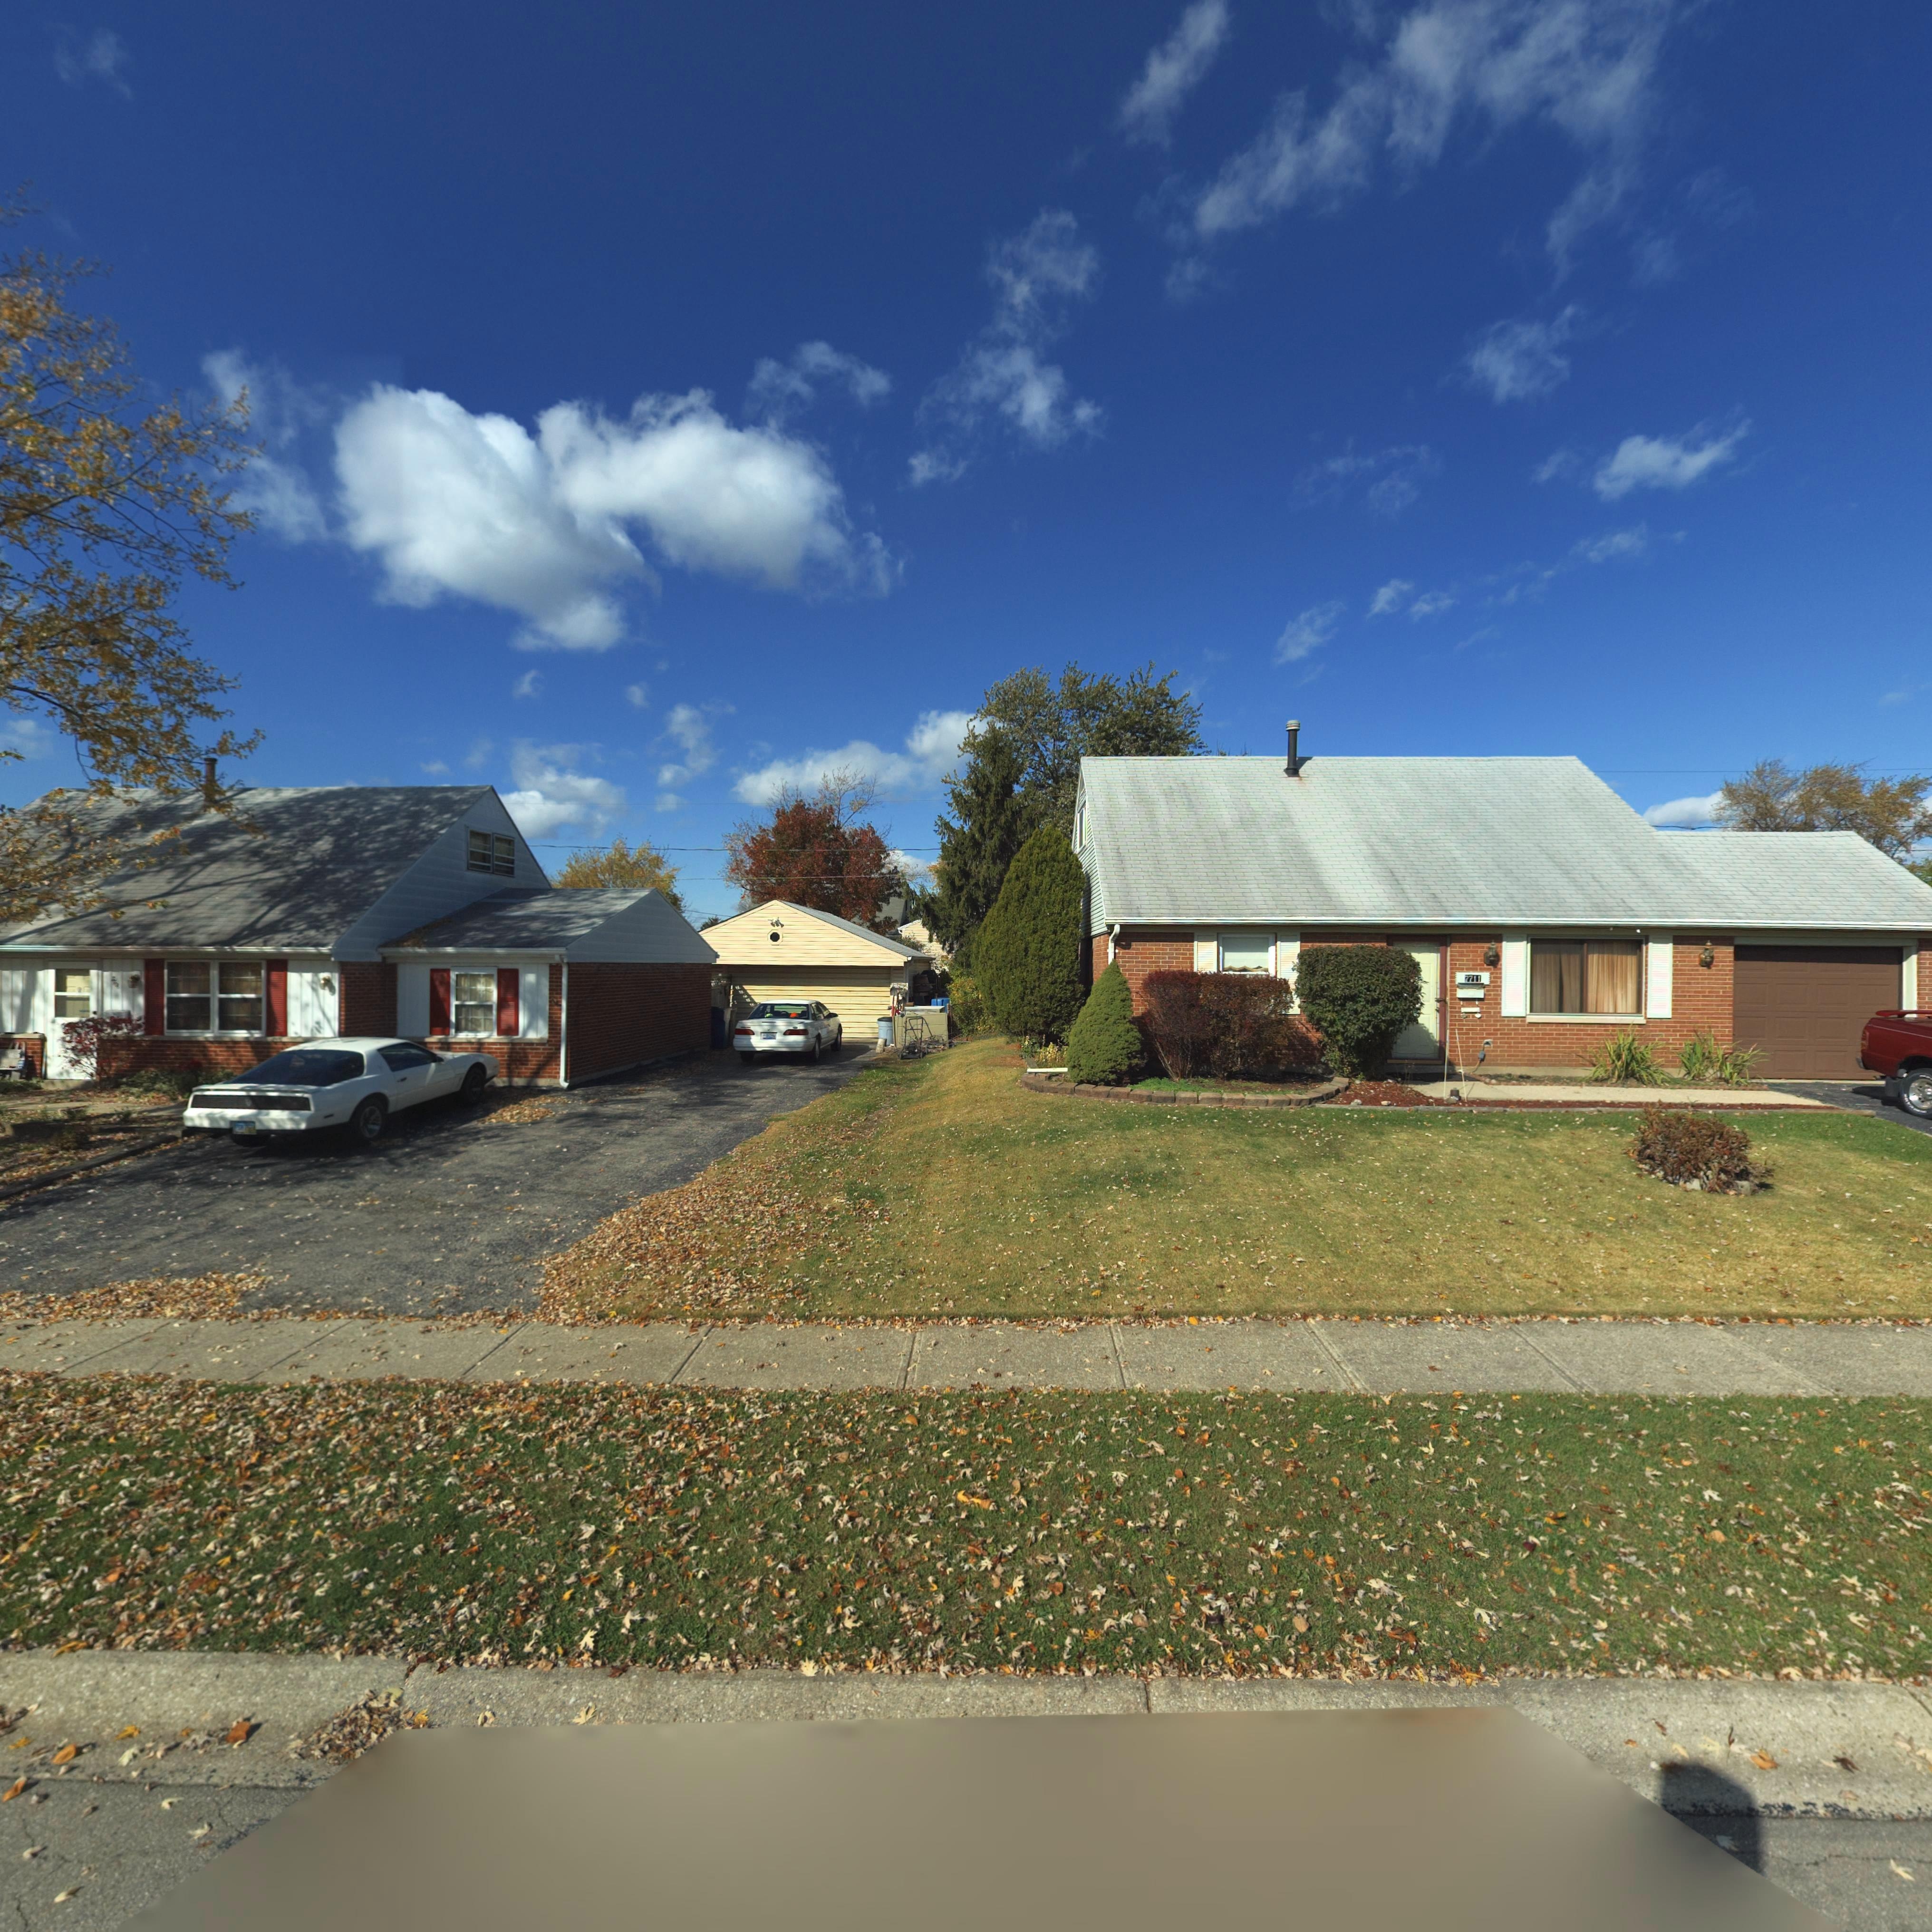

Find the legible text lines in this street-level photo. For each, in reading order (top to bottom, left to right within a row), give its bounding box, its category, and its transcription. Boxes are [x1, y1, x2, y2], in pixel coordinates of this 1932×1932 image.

[111, 976, 119, 988] StreetNumber: 770*
[1465, 975, 1481, 982] StreetNumber: 7711